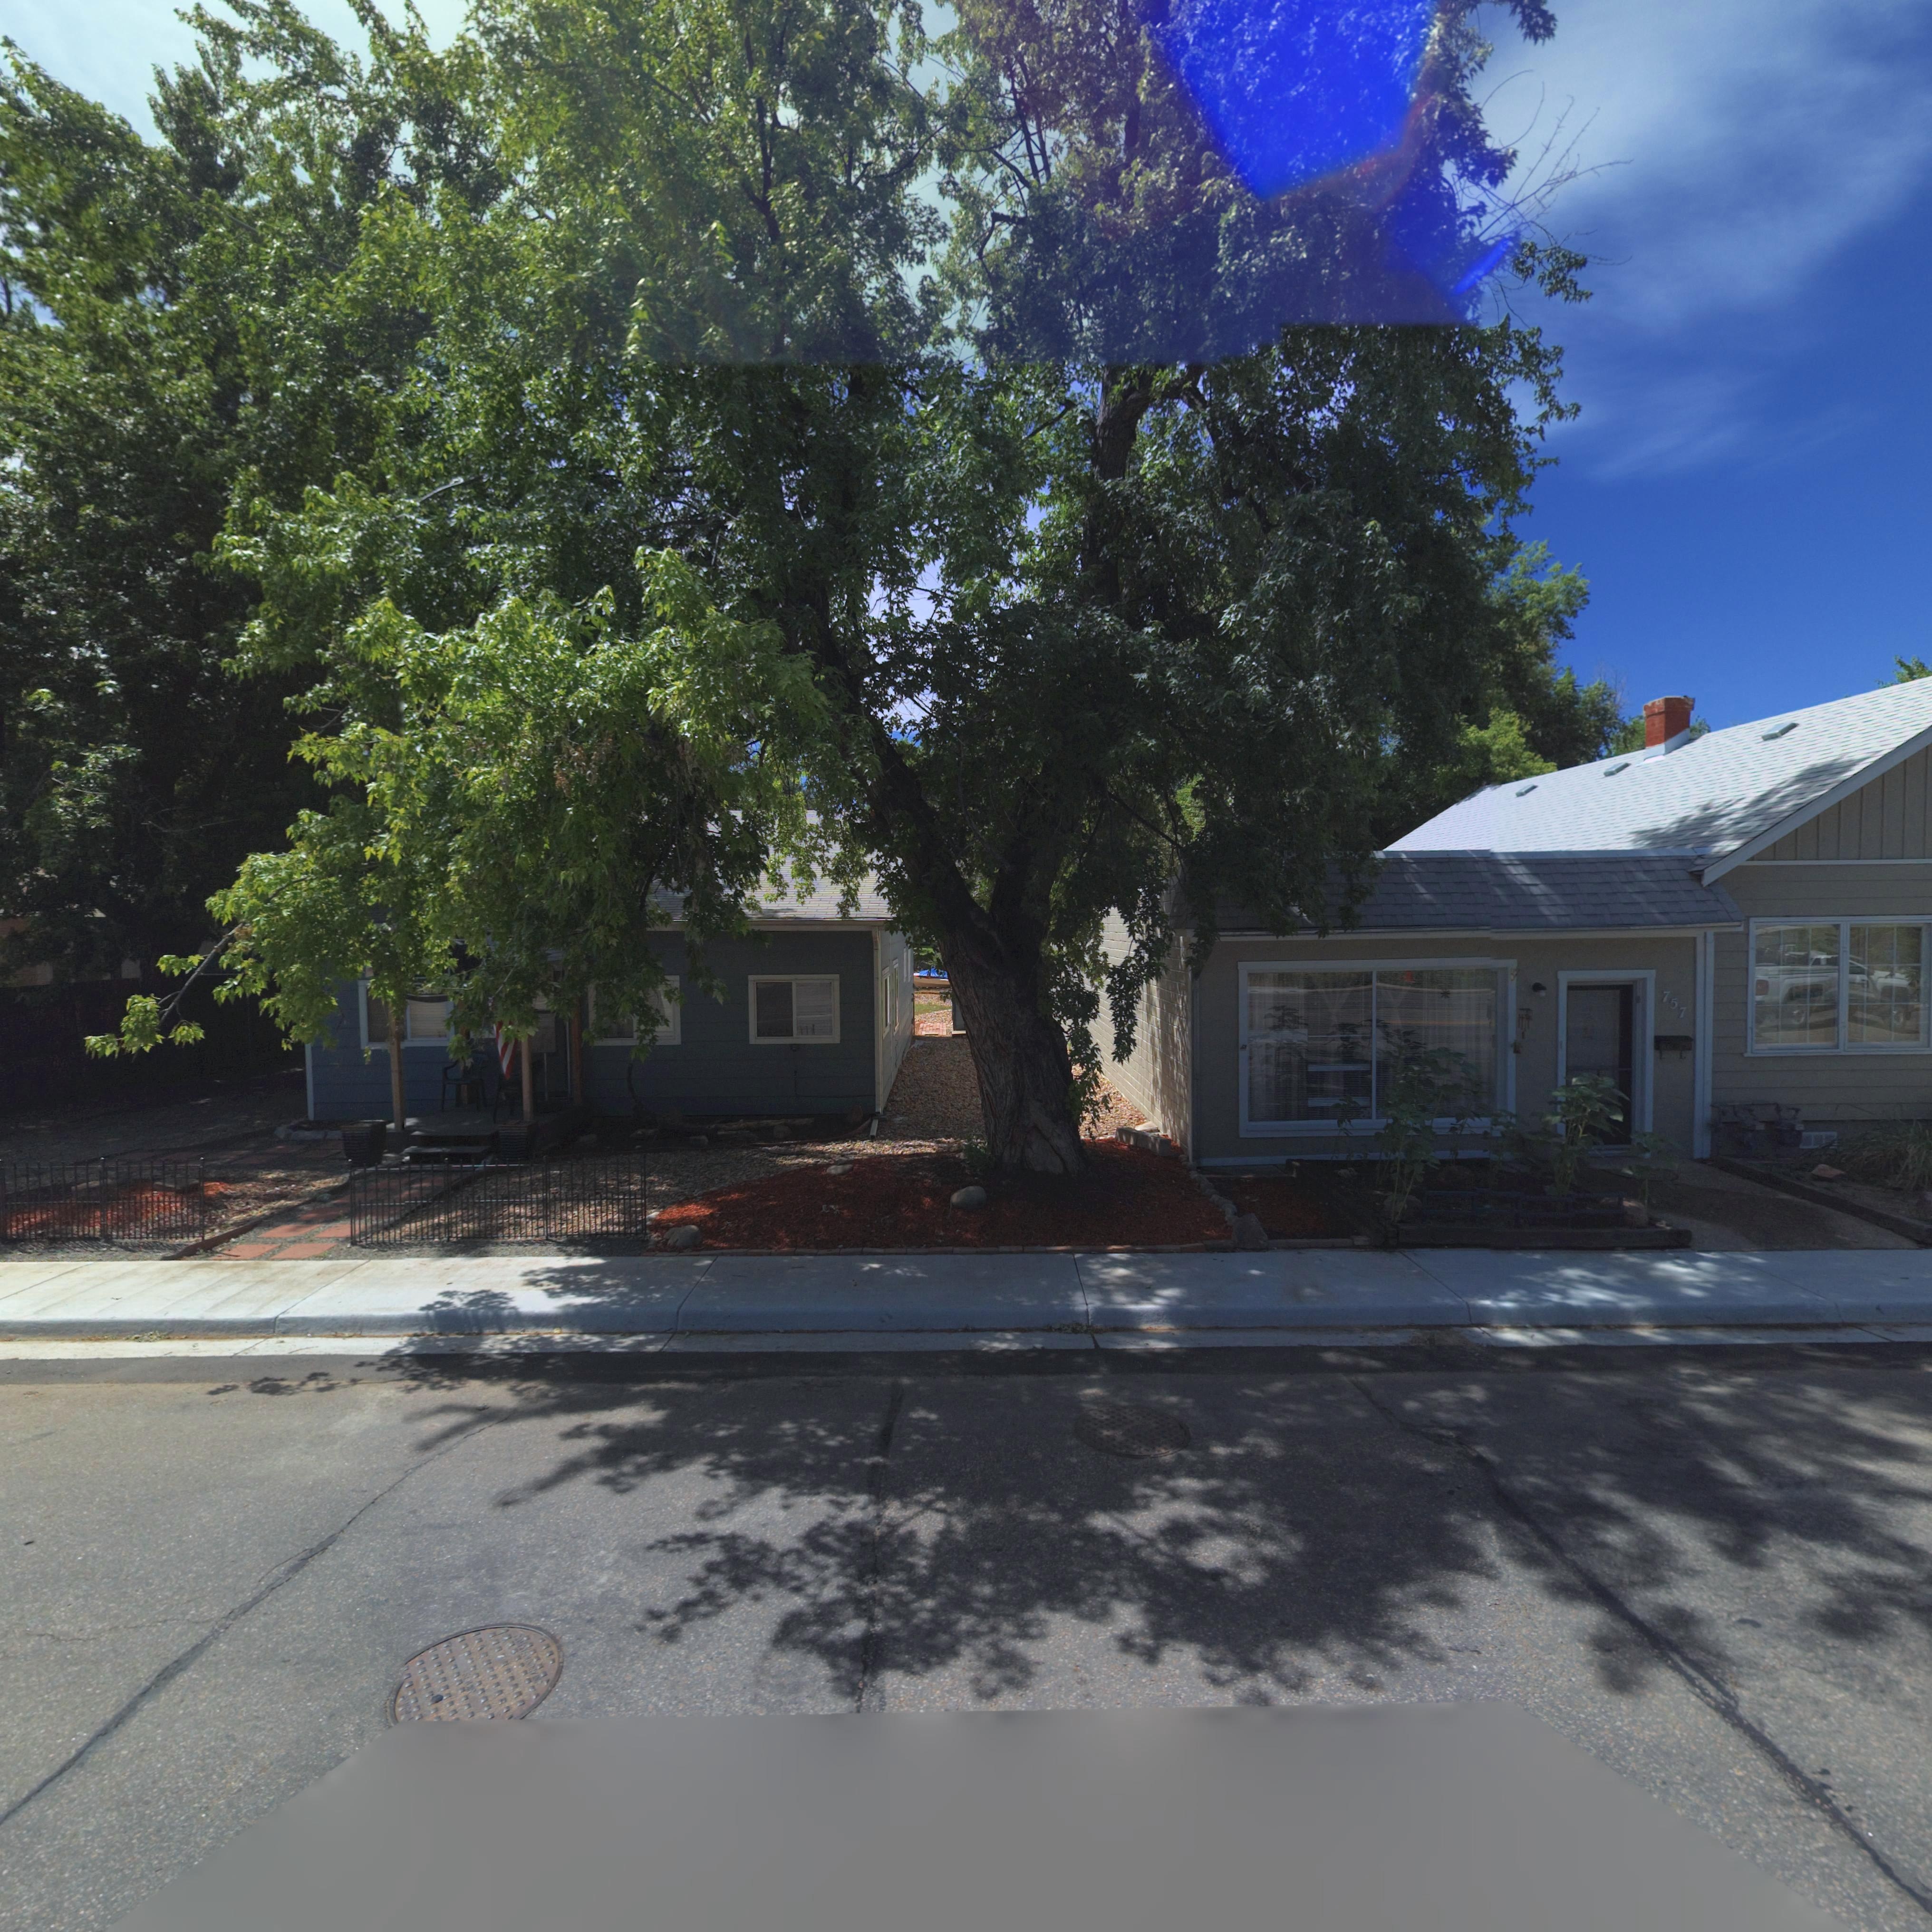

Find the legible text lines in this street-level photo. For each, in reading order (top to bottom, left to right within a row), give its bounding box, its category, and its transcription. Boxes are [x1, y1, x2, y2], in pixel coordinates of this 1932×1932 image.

[1661, 991, 1688, 1020] StreetNumber: 757